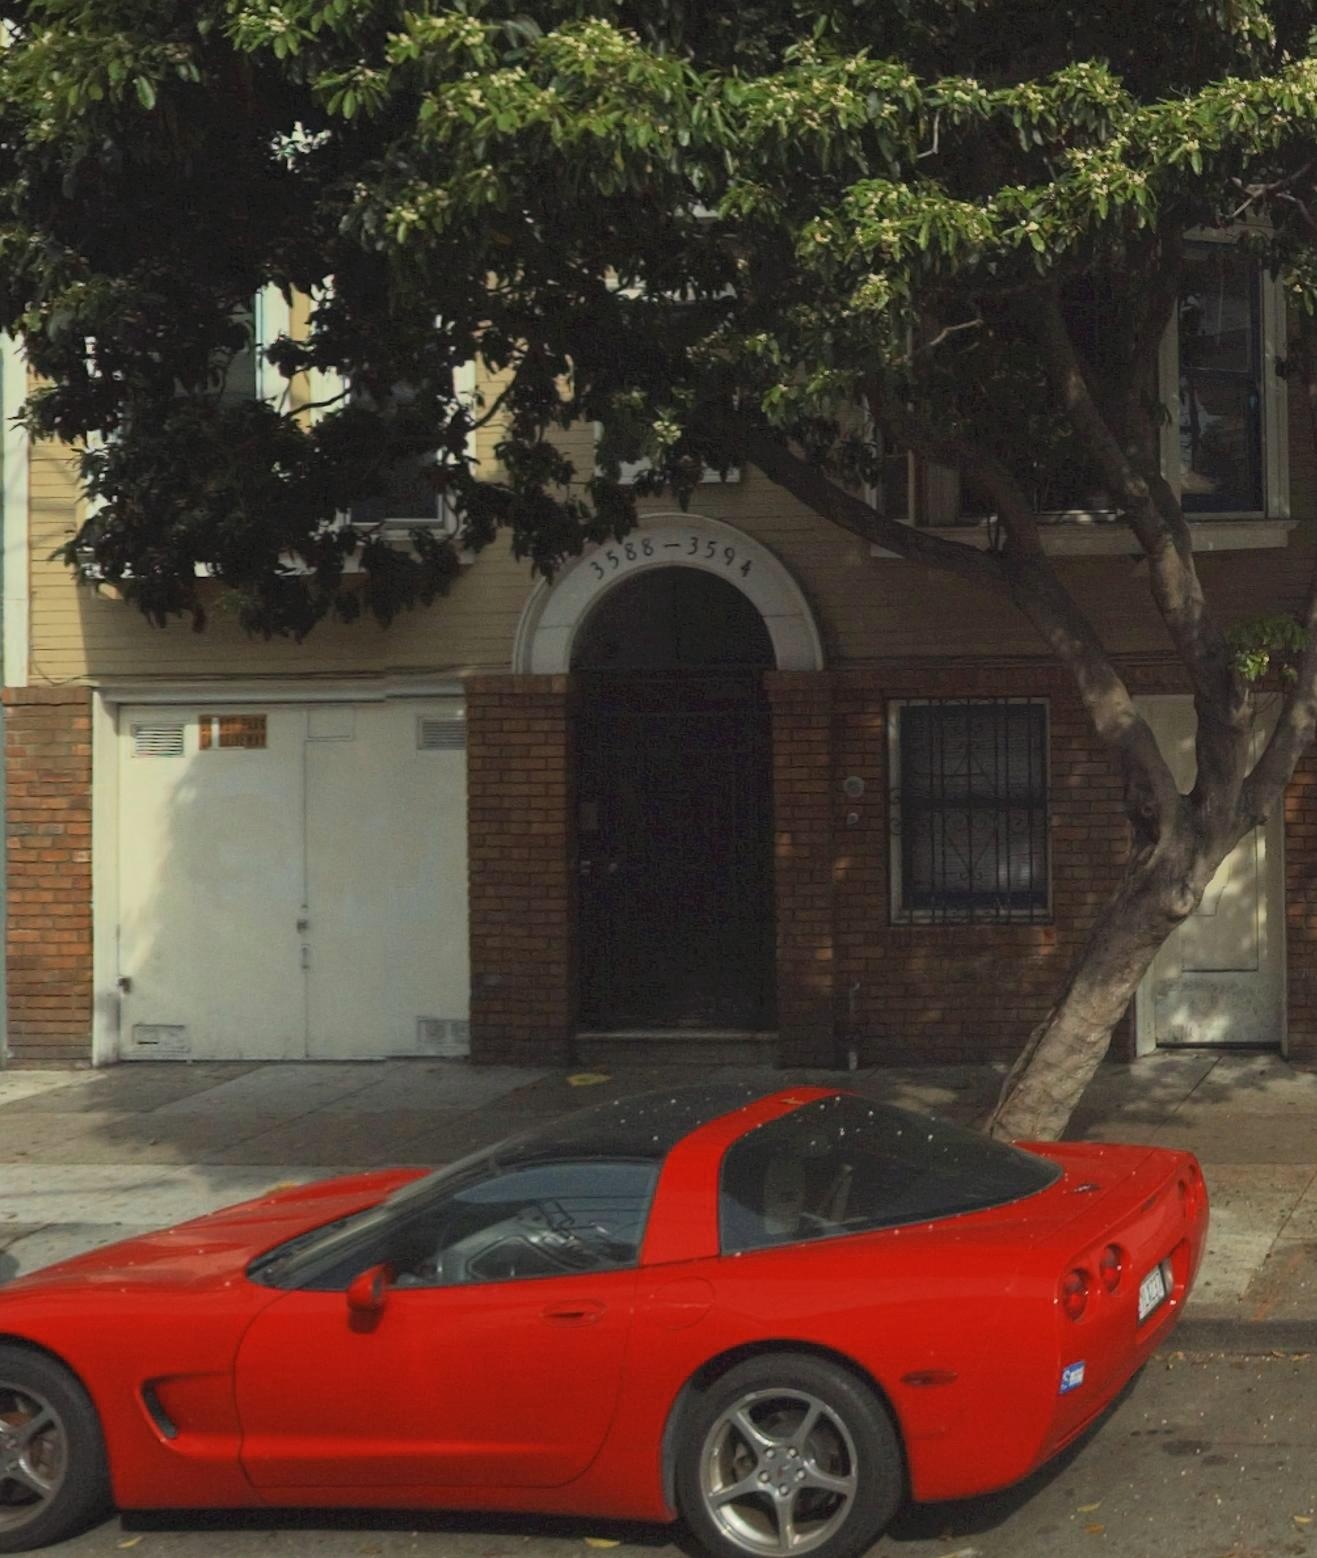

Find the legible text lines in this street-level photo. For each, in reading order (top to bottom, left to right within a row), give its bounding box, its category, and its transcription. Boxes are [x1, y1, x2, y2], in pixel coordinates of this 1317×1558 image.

[586, 534, 657, 584] StreetNumber: 3588
[684, 535, 754, 580] StreetNumber: 3594